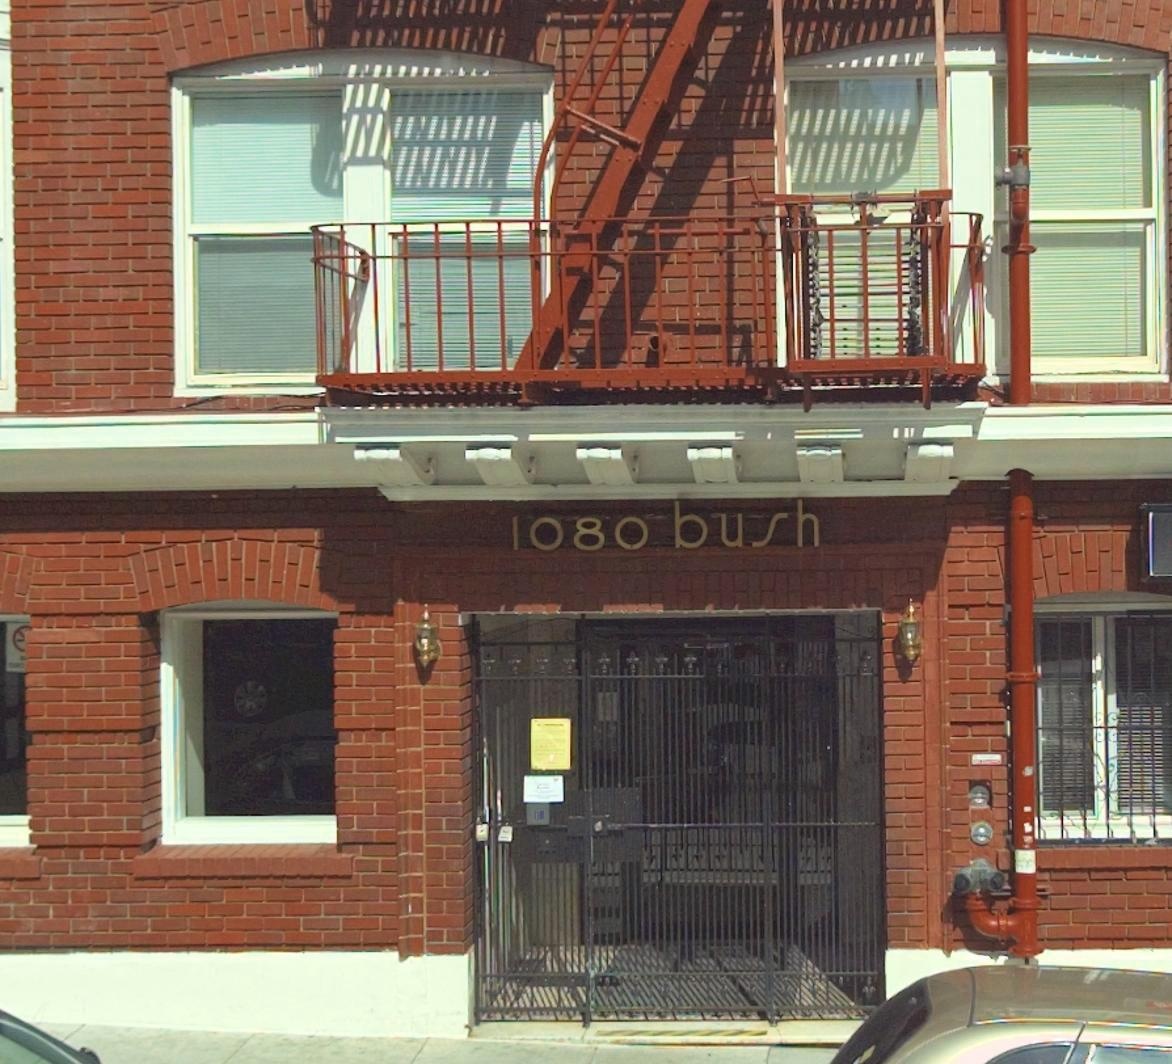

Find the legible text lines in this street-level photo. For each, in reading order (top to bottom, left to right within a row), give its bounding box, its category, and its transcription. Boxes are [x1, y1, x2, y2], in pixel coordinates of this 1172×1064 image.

[502, 508, 655, 556] StreetNumber: 1080
[667, 494, 829, 554] StreetName: bush